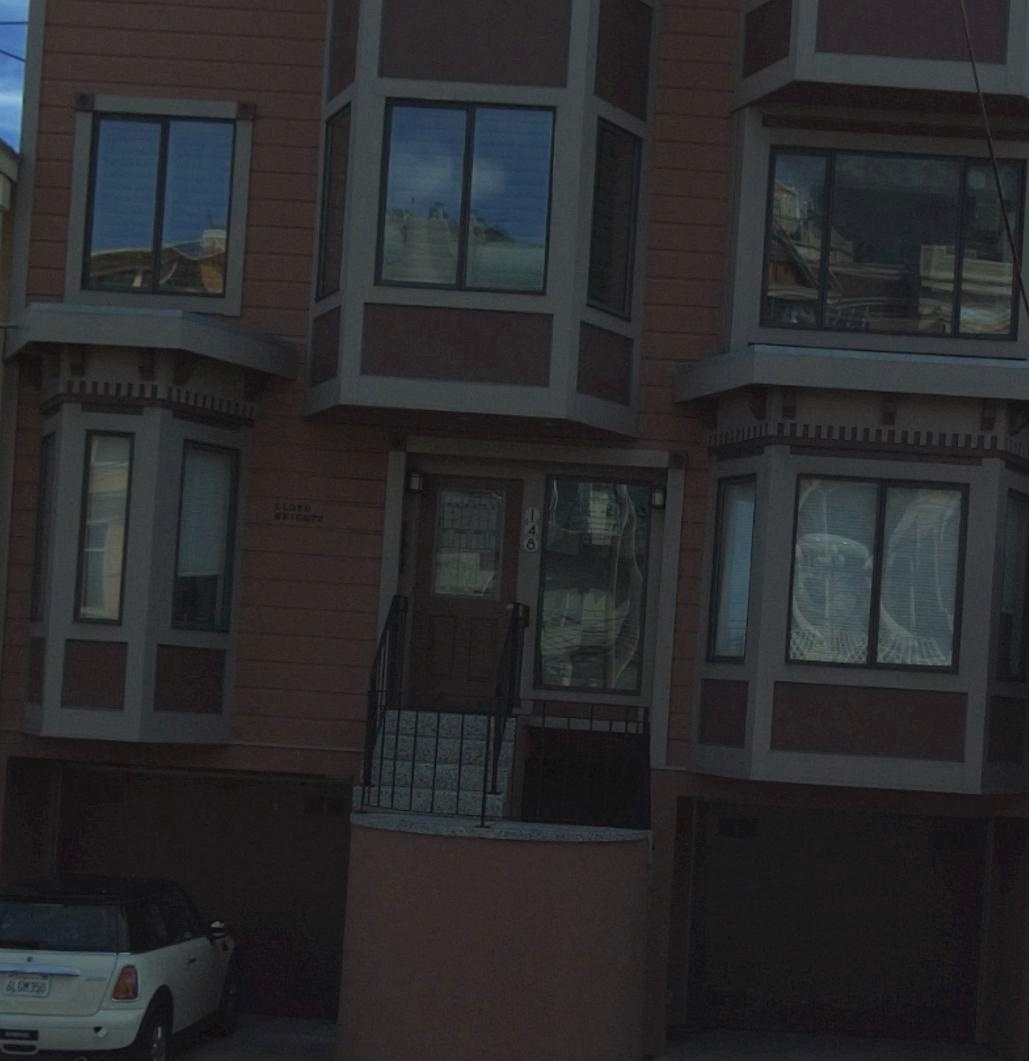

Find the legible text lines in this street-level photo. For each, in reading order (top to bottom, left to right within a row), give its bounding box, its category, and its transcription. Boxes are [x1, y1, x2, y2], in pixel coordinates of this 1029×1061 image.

[273, 501, 313, 512] None: LLOYD
[271, 513, 324, 524] None: *EI**T*
[524, 508, 539, 551] StreetNumber: 148
[3, 979, 48, 995] None: 6L*M350